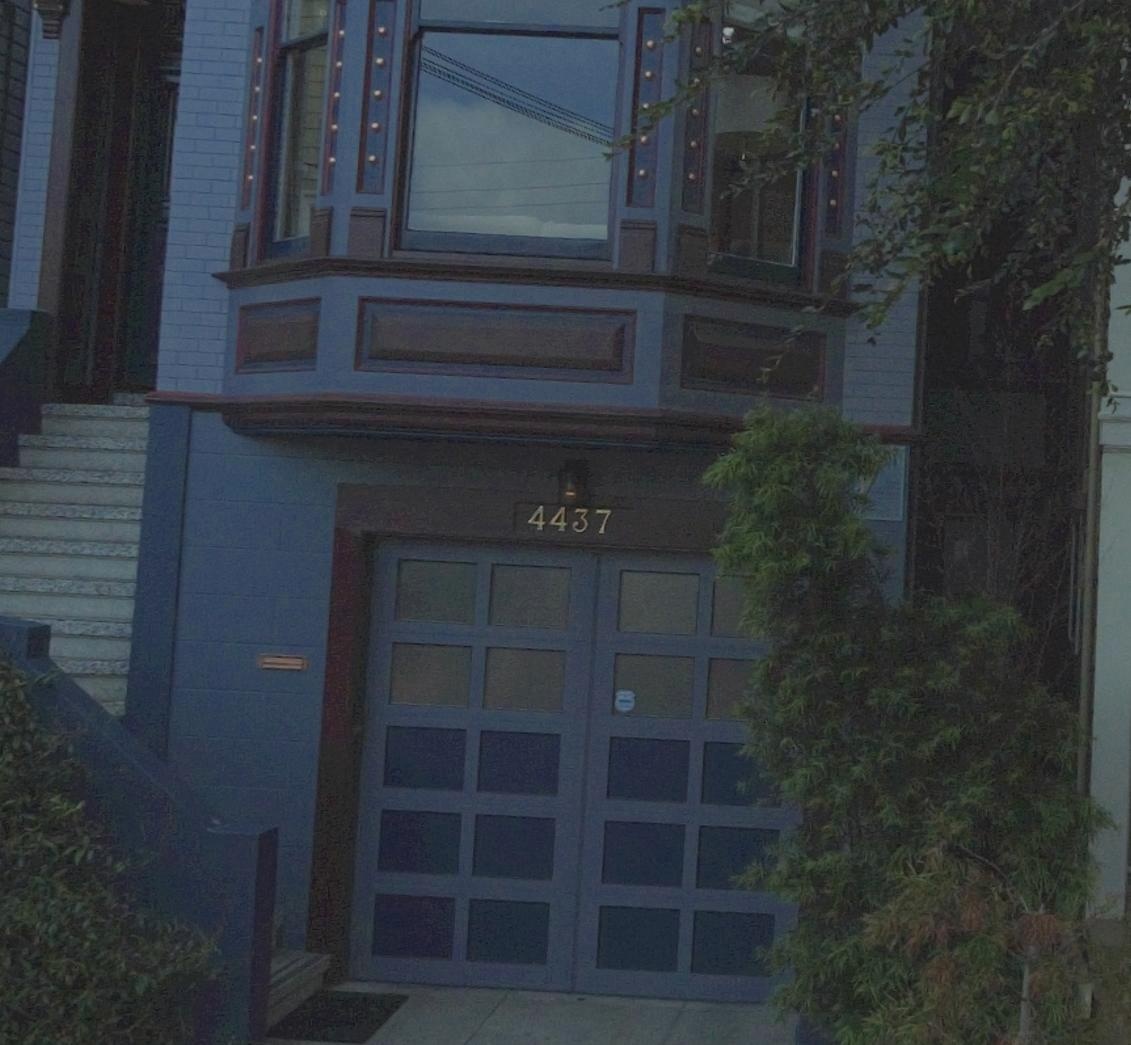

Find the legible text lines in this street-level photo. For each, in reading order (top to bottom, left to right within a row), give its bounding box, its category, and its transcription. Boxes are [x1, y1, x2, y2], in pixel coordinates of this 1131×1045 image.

[527, 504, 613, 535] StreetNumber: 4437